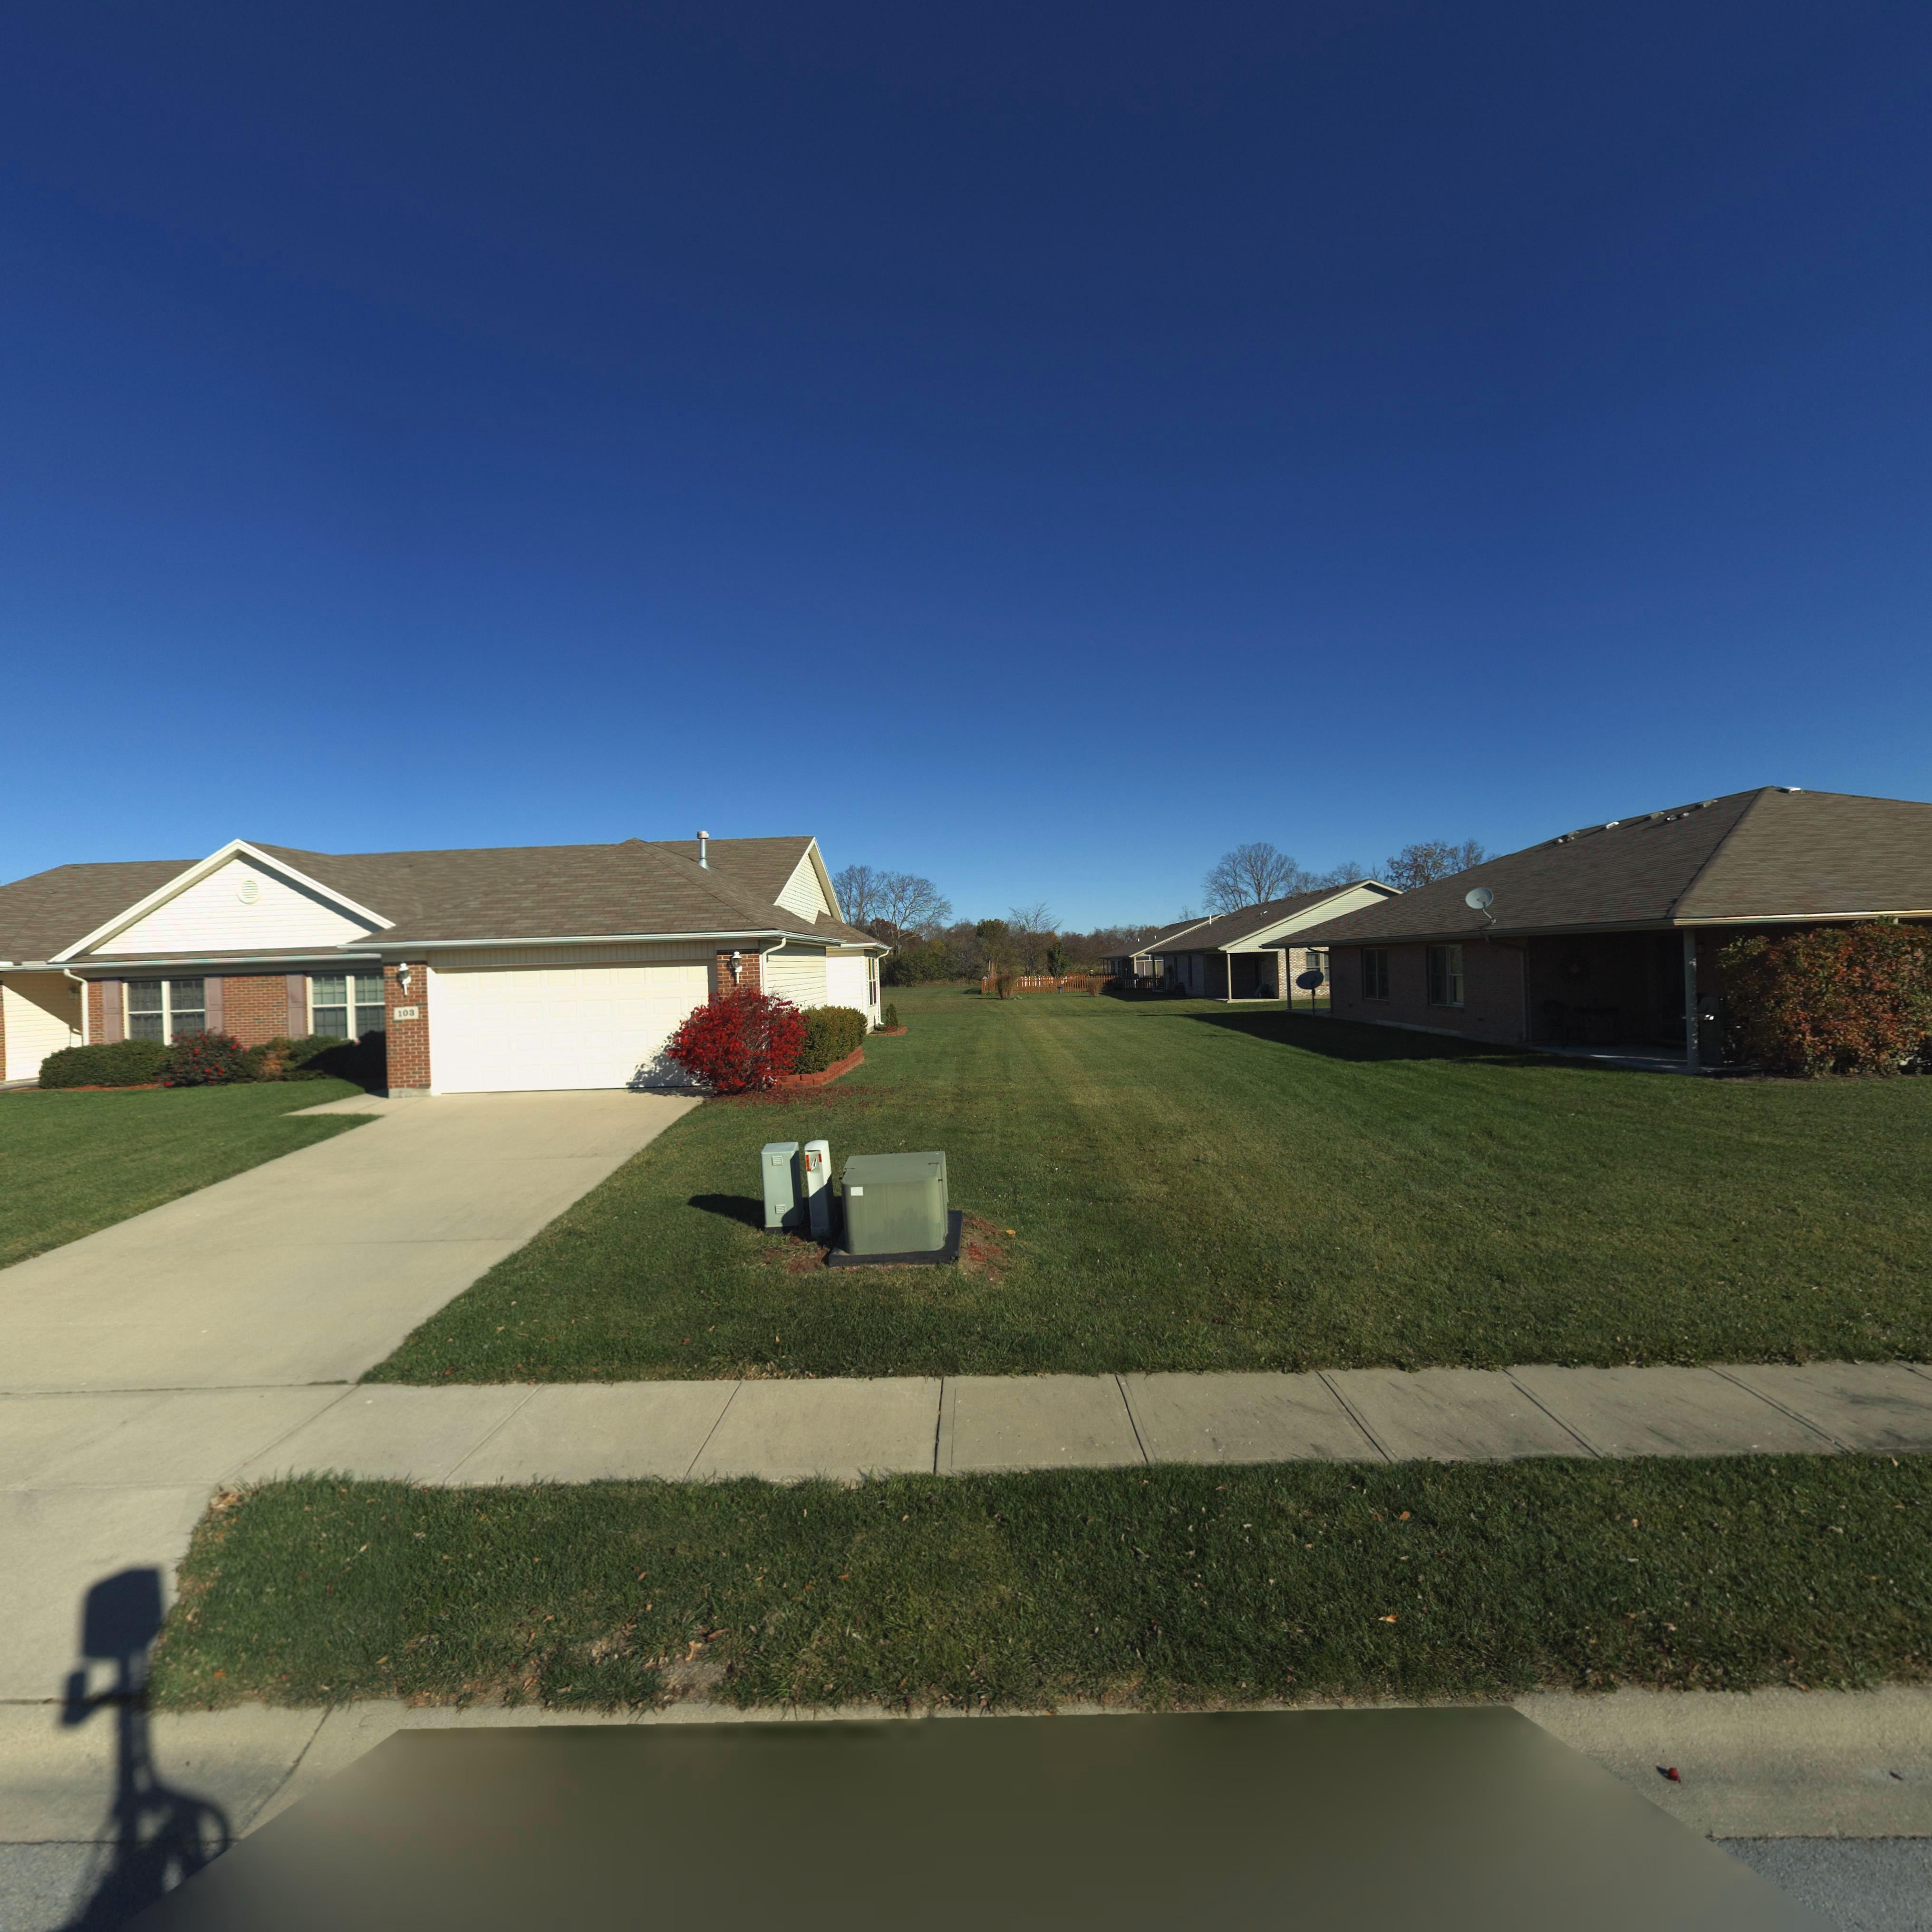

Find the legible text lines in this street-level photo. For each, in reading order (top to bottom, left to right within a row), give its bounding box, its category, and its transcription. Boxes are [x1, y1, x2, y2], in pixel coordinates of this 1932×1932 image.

[397, 1006, 416, 1019] StreetNumber: 103